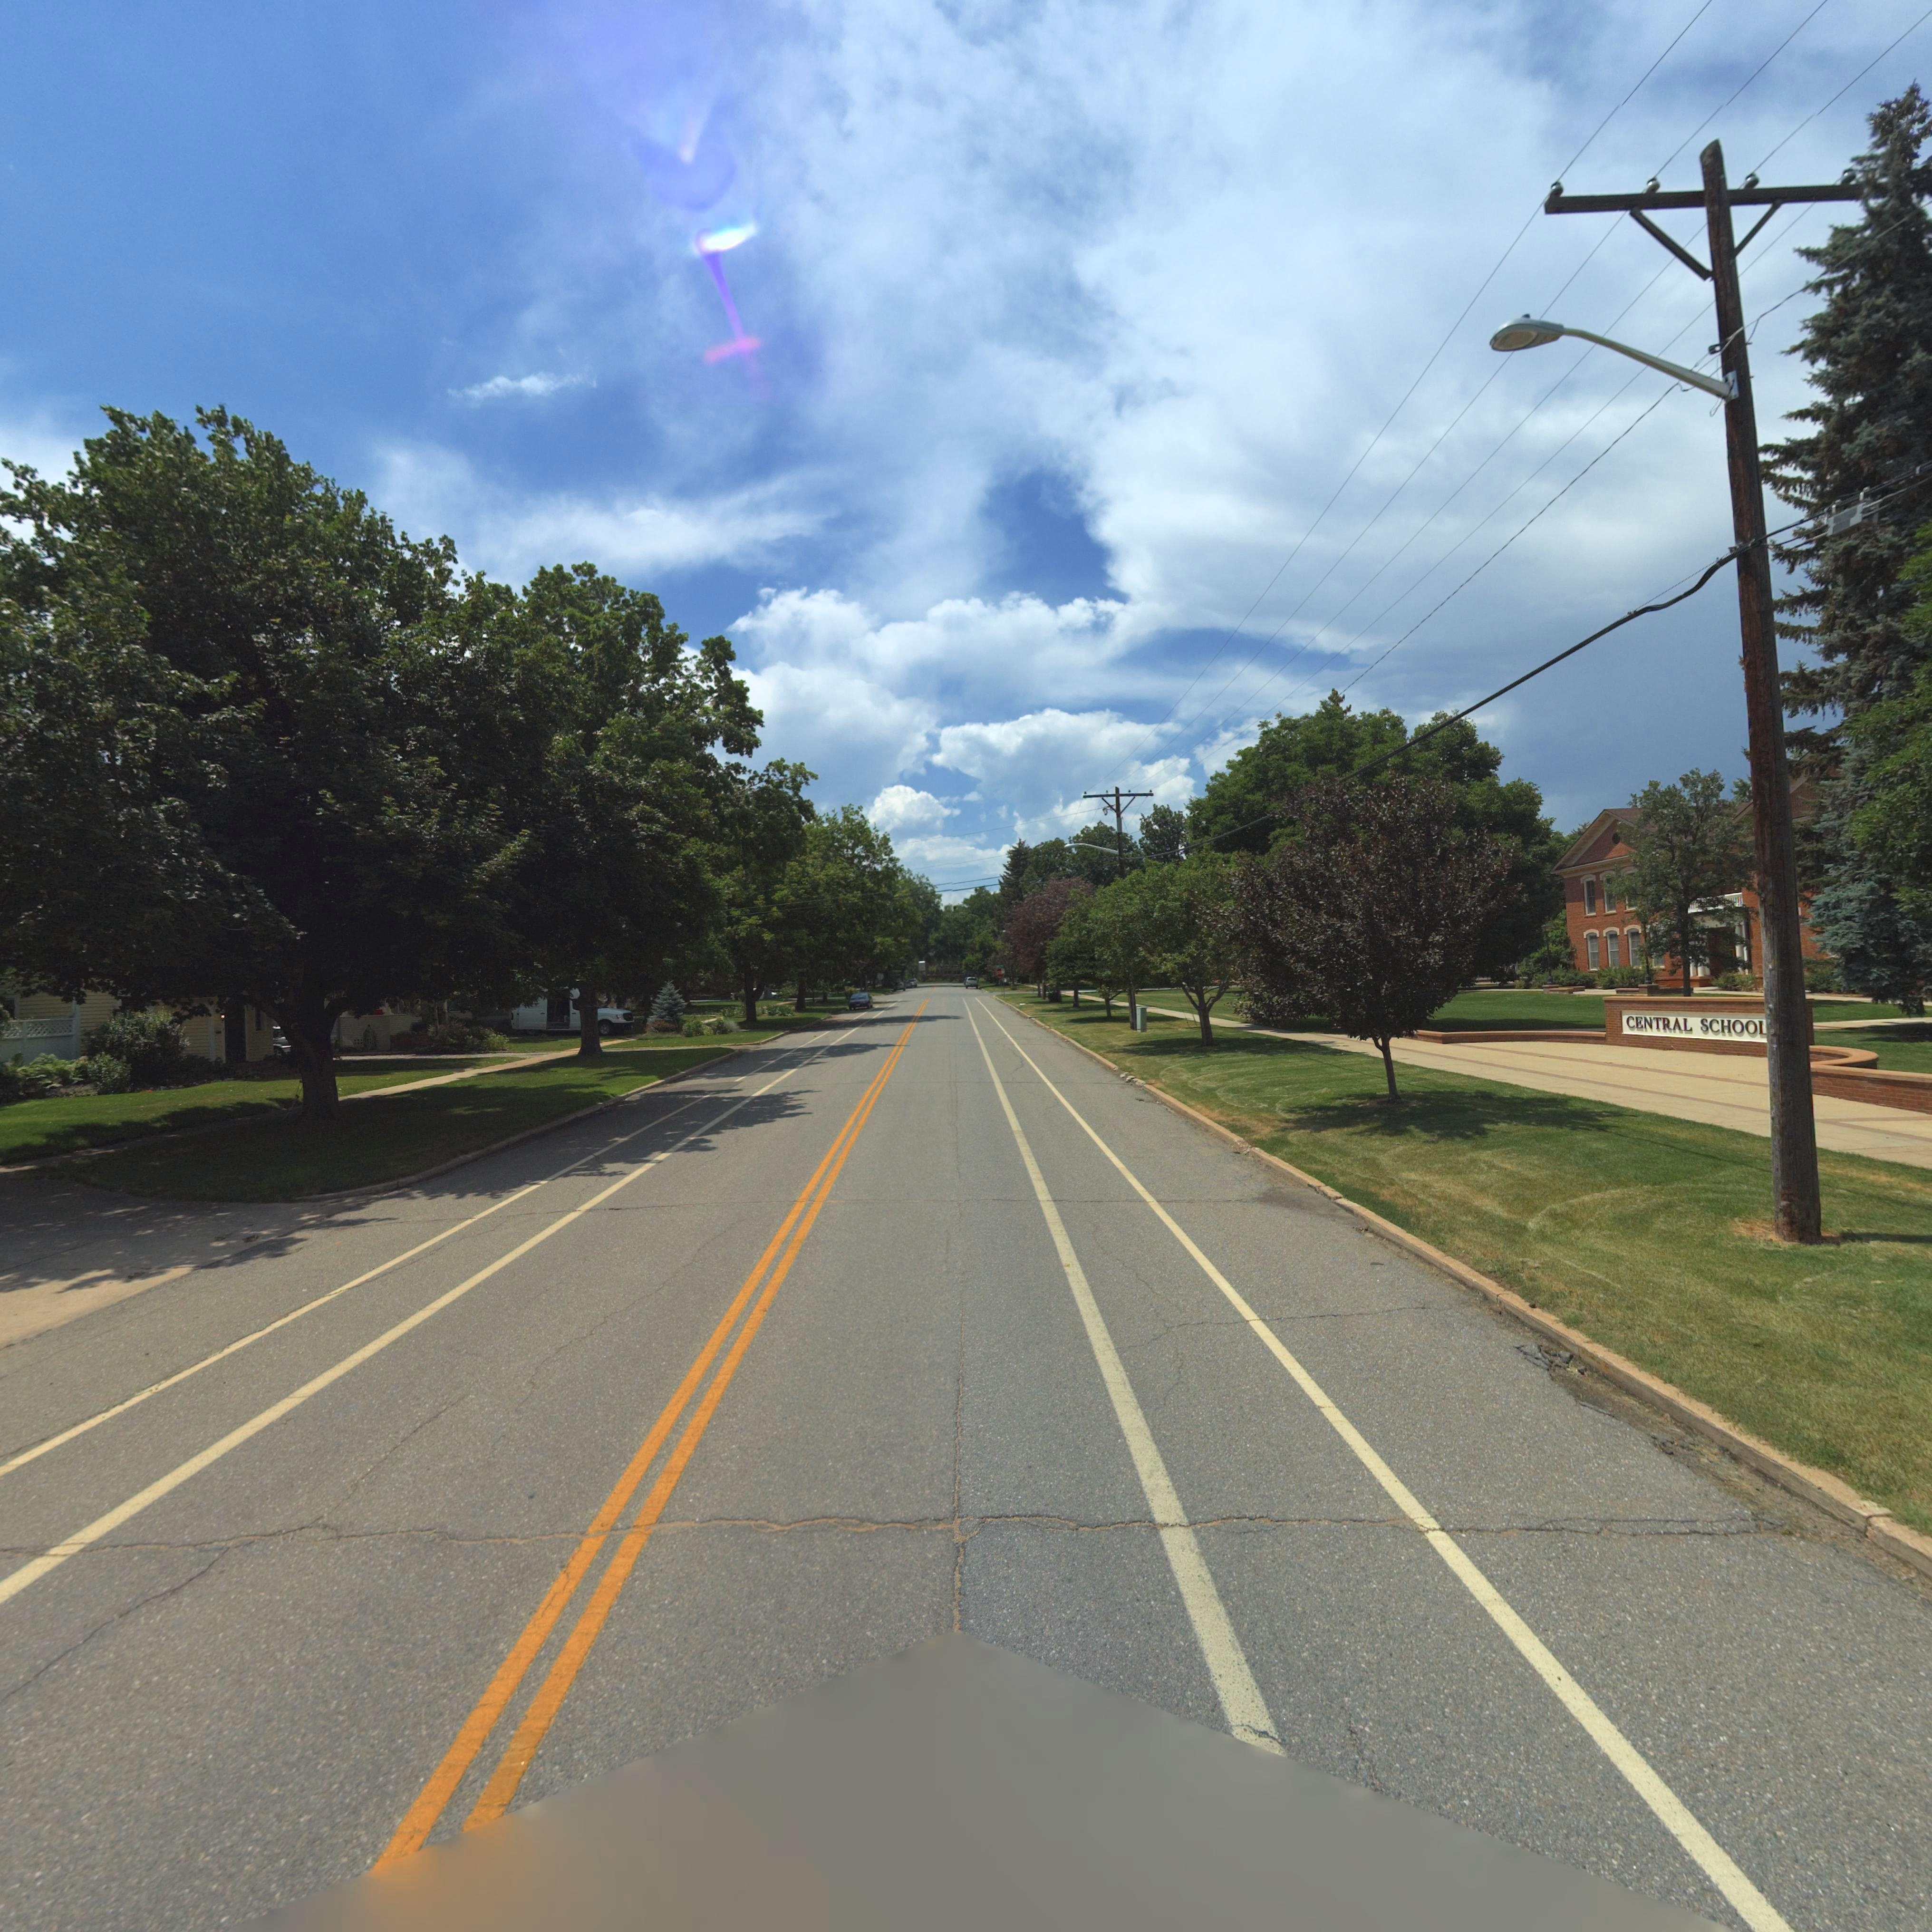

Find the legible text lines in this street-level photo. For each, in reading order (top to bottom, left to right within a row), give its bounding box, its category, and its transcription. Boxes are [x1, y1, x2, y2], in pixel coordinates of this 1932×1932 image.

[1625, 1016, 1768, 1035] BusinessName: CENTRAL SCHOOL